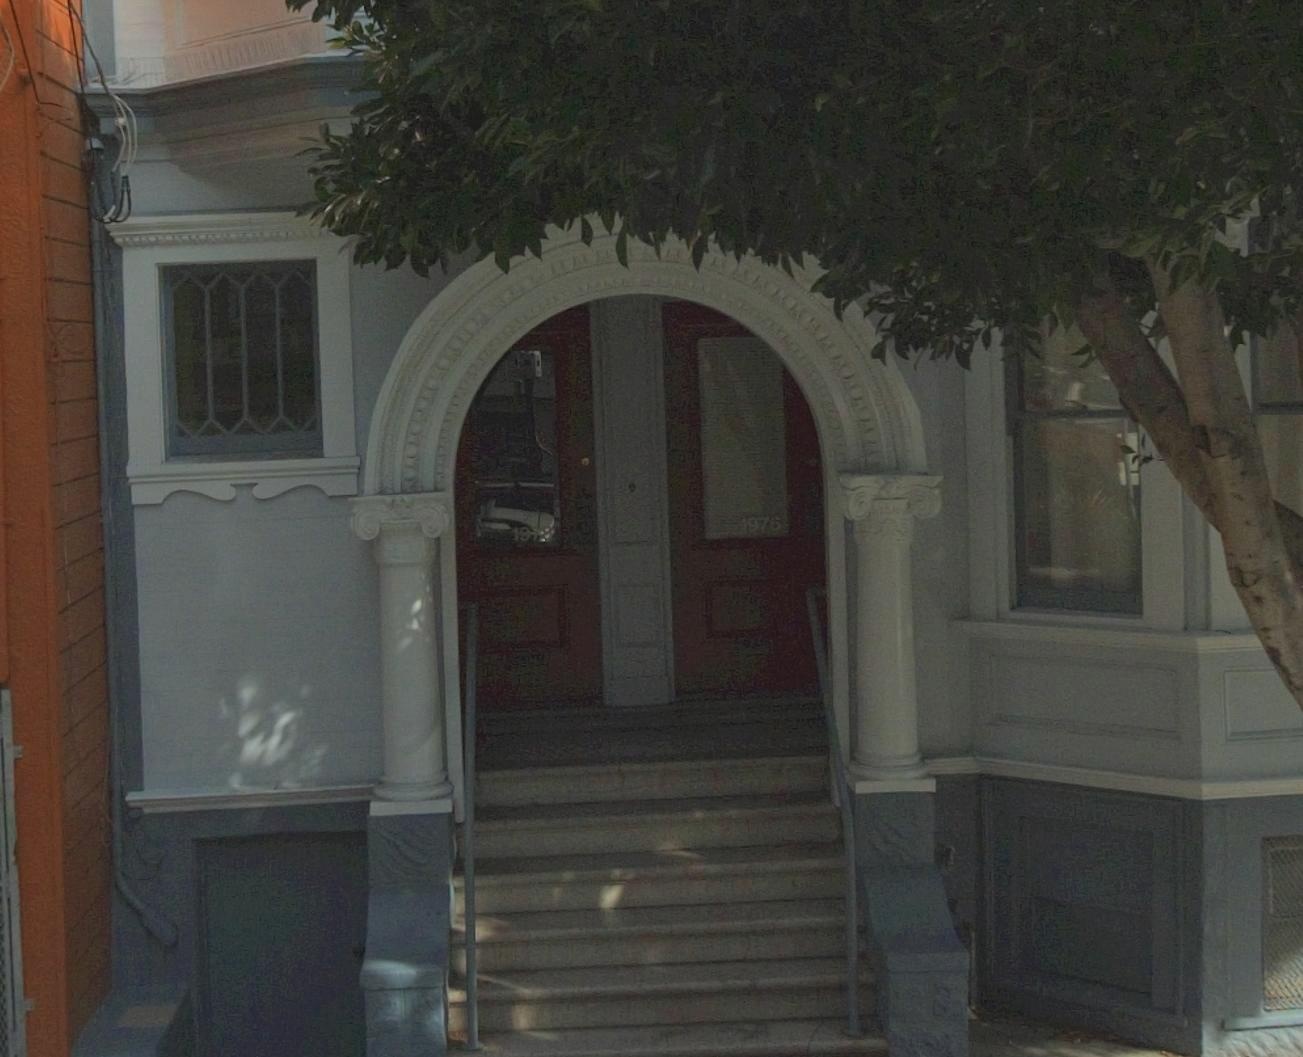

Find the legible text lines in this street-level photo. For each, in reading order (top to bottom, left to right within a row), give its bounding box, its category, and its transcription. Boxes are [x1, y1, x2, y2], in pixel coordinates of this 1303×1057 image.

[740, 515, 783, 534] StreetNumber: 1976
[510, 525, 552, 544] StreetNumber: 19*8